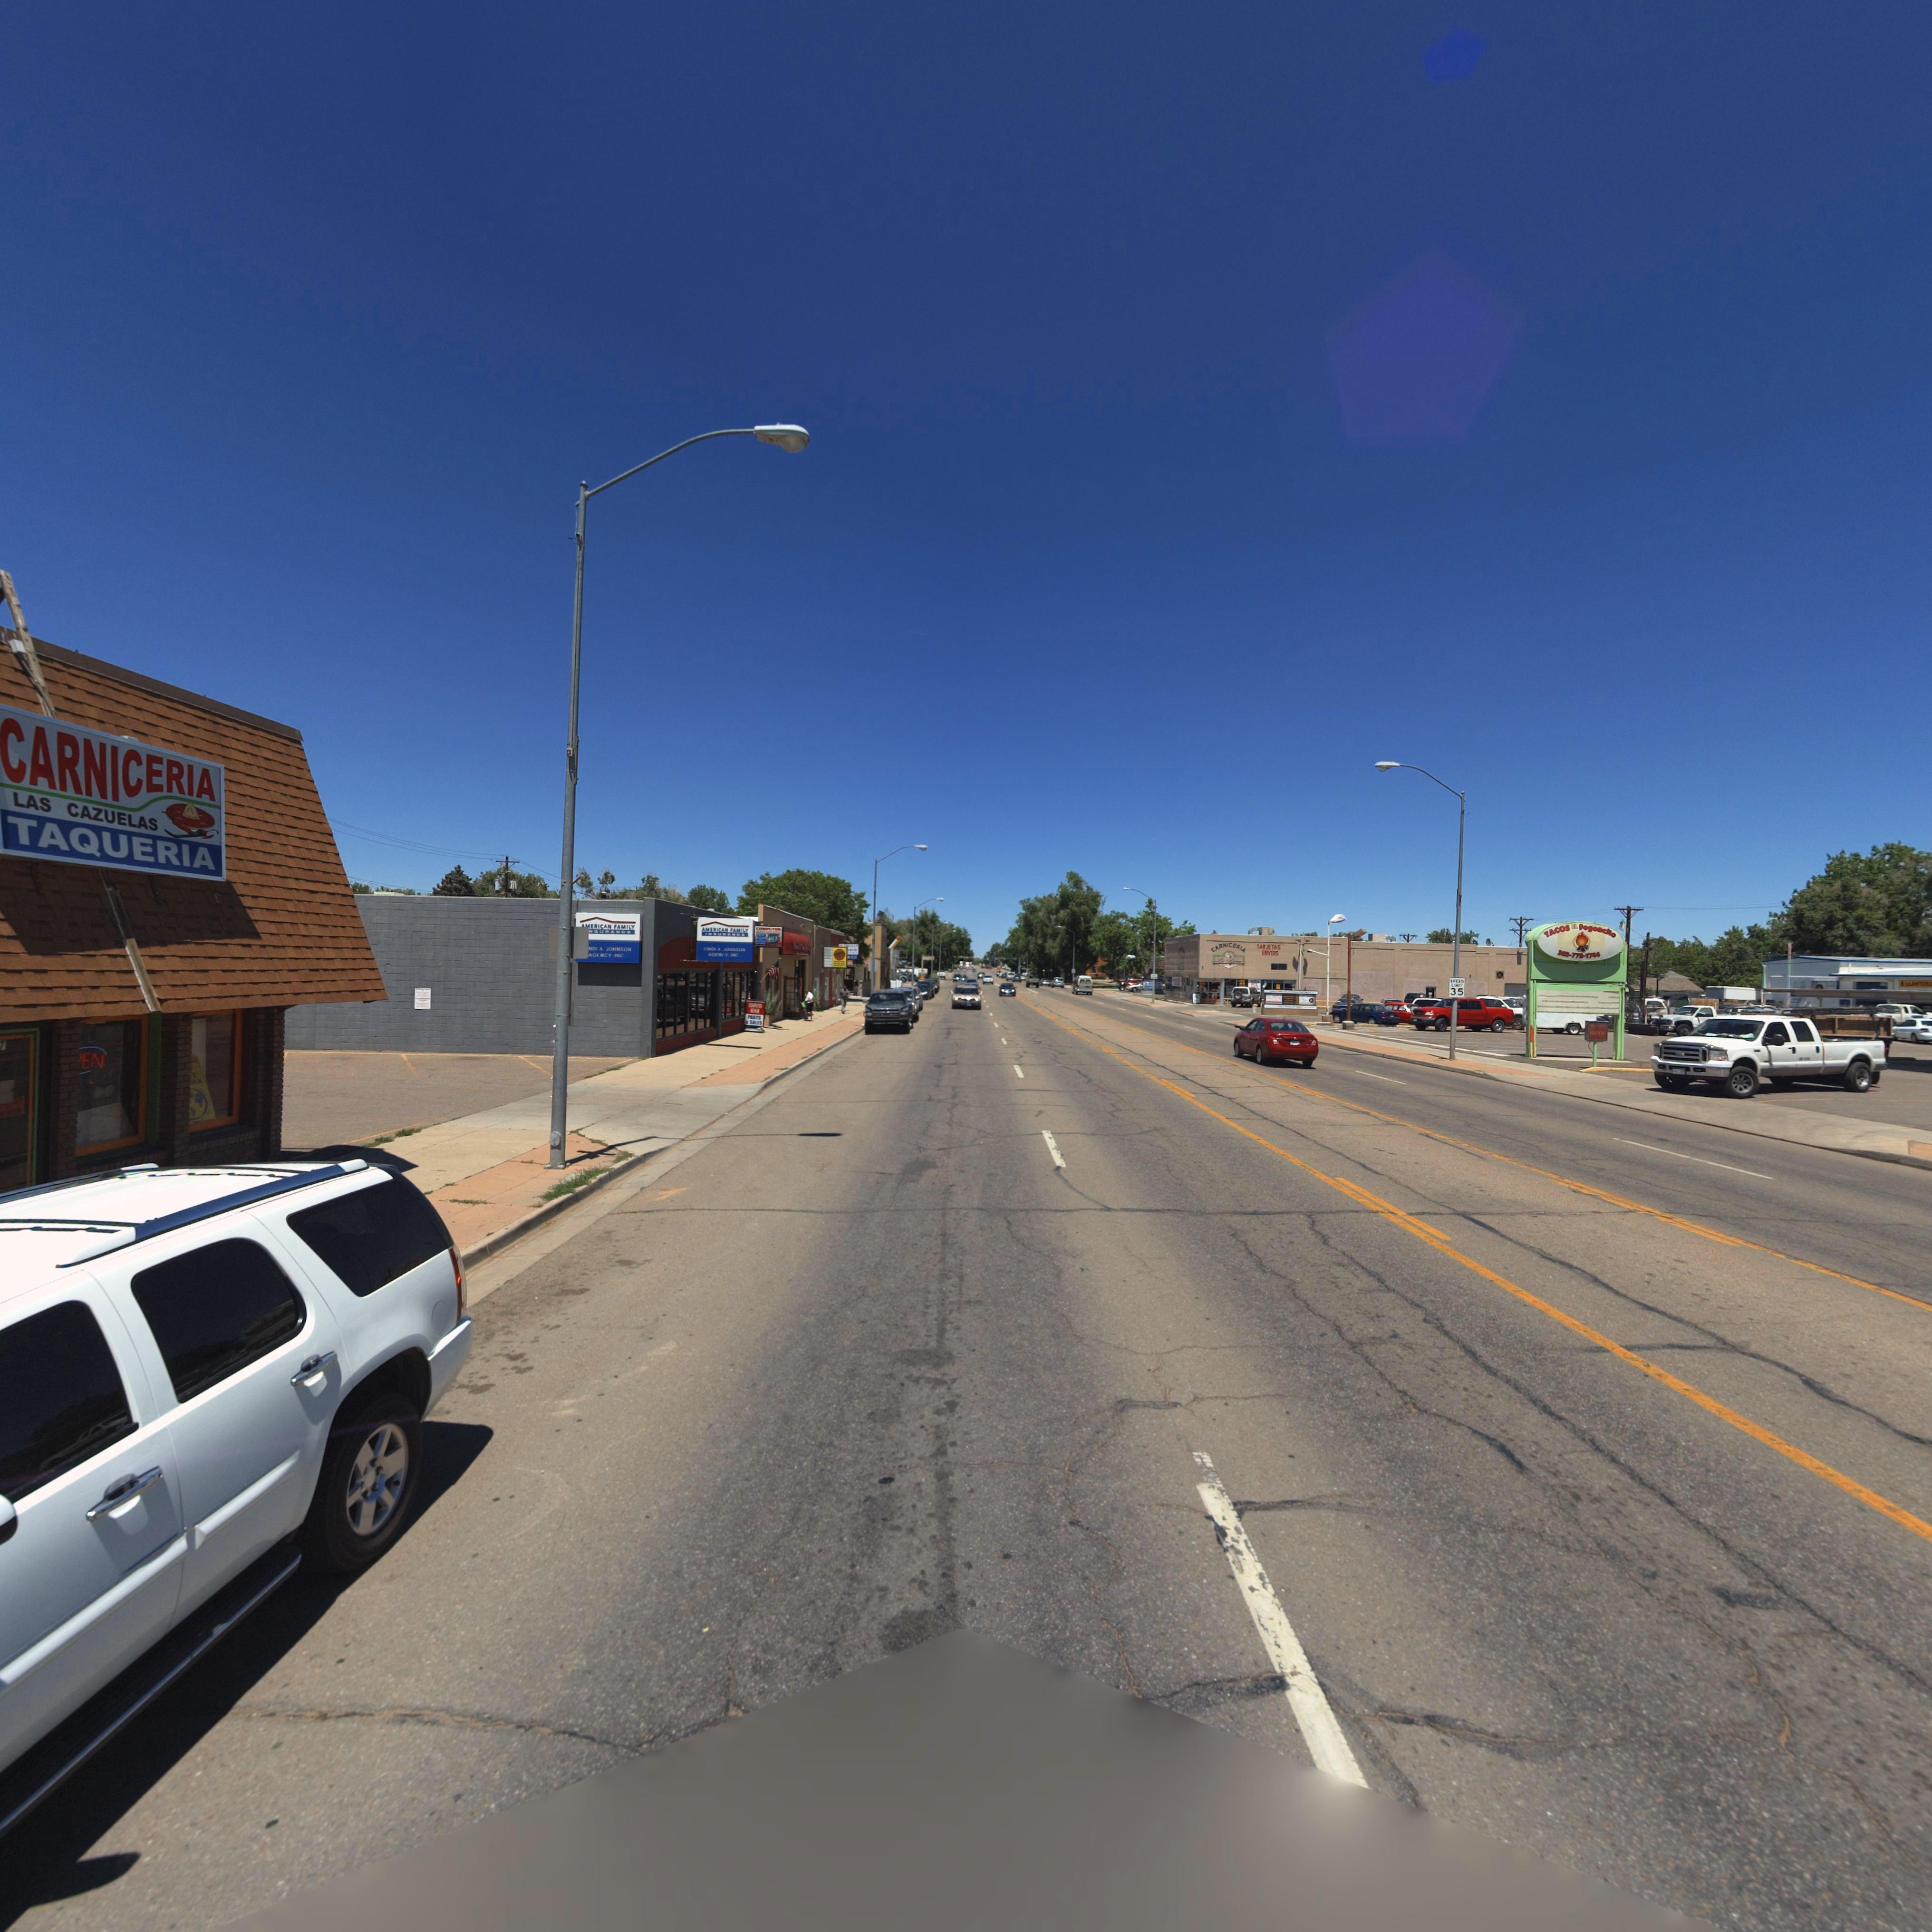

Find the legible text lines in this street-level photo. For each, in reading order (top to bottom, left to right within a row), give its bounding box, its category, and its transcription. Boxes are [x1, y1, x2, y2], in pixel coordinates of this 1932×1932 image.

[12, 791, 159, 832] BusinessName: LAS CAZUELAS
[589, 929, 630, 933] BusinessName: NSURANCE
[584, 923, 635, 930] BusinessName: MERICAN FAMILY
[701, 927, 748, 933] BusinessName: AMERICAN FAMILY
[705, 932, 745, 936] BusinessName: INSURANCE
[755, 927, 781, 930] BusinessName: COMPUTER
[1543, 923, 1616, 938] BusinessName: TACOS EL Fogoncito
[850, 945, 858, 947] BusinessName: MAN
[1214, 957, 1243, 963] BusinessName: La Sie**a
[1589, 1031, 1605, 1035] StreetNumber: TACOS FOGONCITO